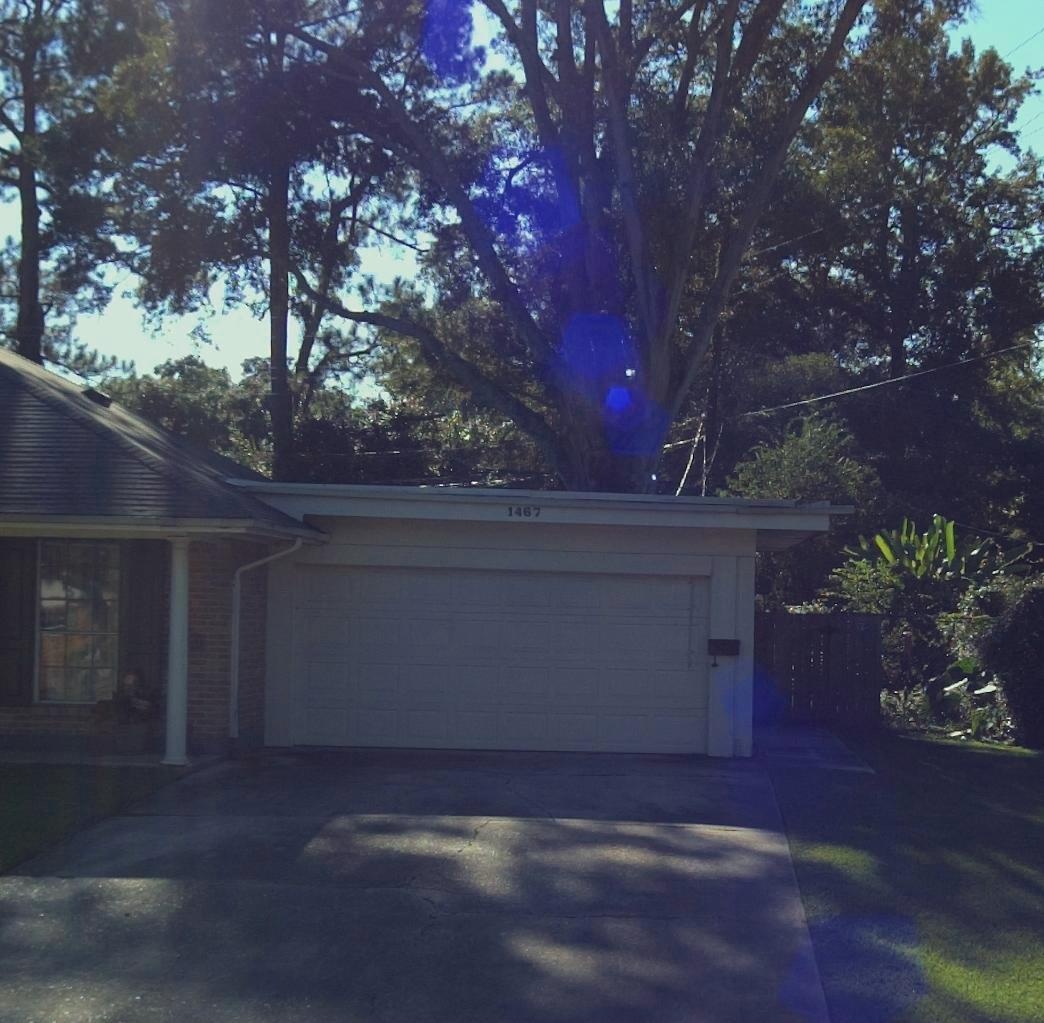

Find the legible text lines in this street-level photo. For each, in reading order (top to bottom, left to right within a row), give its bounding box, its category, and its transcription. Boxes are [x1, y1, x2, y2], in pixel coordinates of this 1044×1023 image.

[506, 505, 543, 520] StreetNumber: 1467